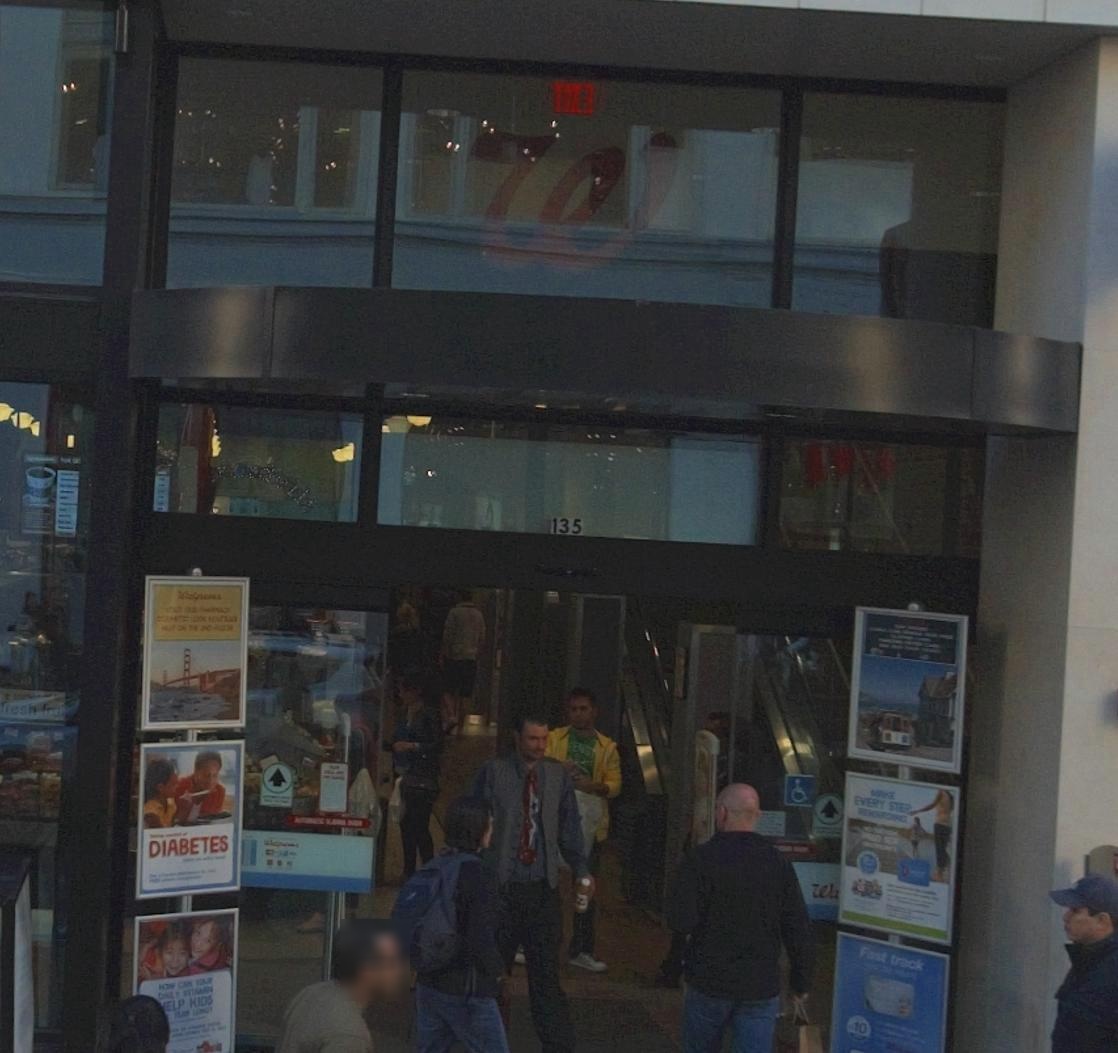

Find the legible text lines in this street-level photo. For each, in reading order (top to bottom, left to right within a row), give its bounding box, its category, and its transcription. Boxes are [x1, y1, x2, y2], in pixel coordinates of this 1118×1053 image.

[460, 122, 685, 277] BusinessName: W
[551, 517, 583, 535] StreetNumber: 135
[177, 589, 223, 603] BusinessName: Walgreens
[4, 701, 62, 718] None: resh fru
[852, 793, 915, 815] None: EVERY STEP
[147, 834, 231, 861] None: DIABETES
[810, 882, 842, 900] BusinessName: Wa
[858, 944, 927, 973] None: Fast track
[165, 993, 214, 1014] None: ELP KIDS
[852, 1019, 870, 1036] None: 10